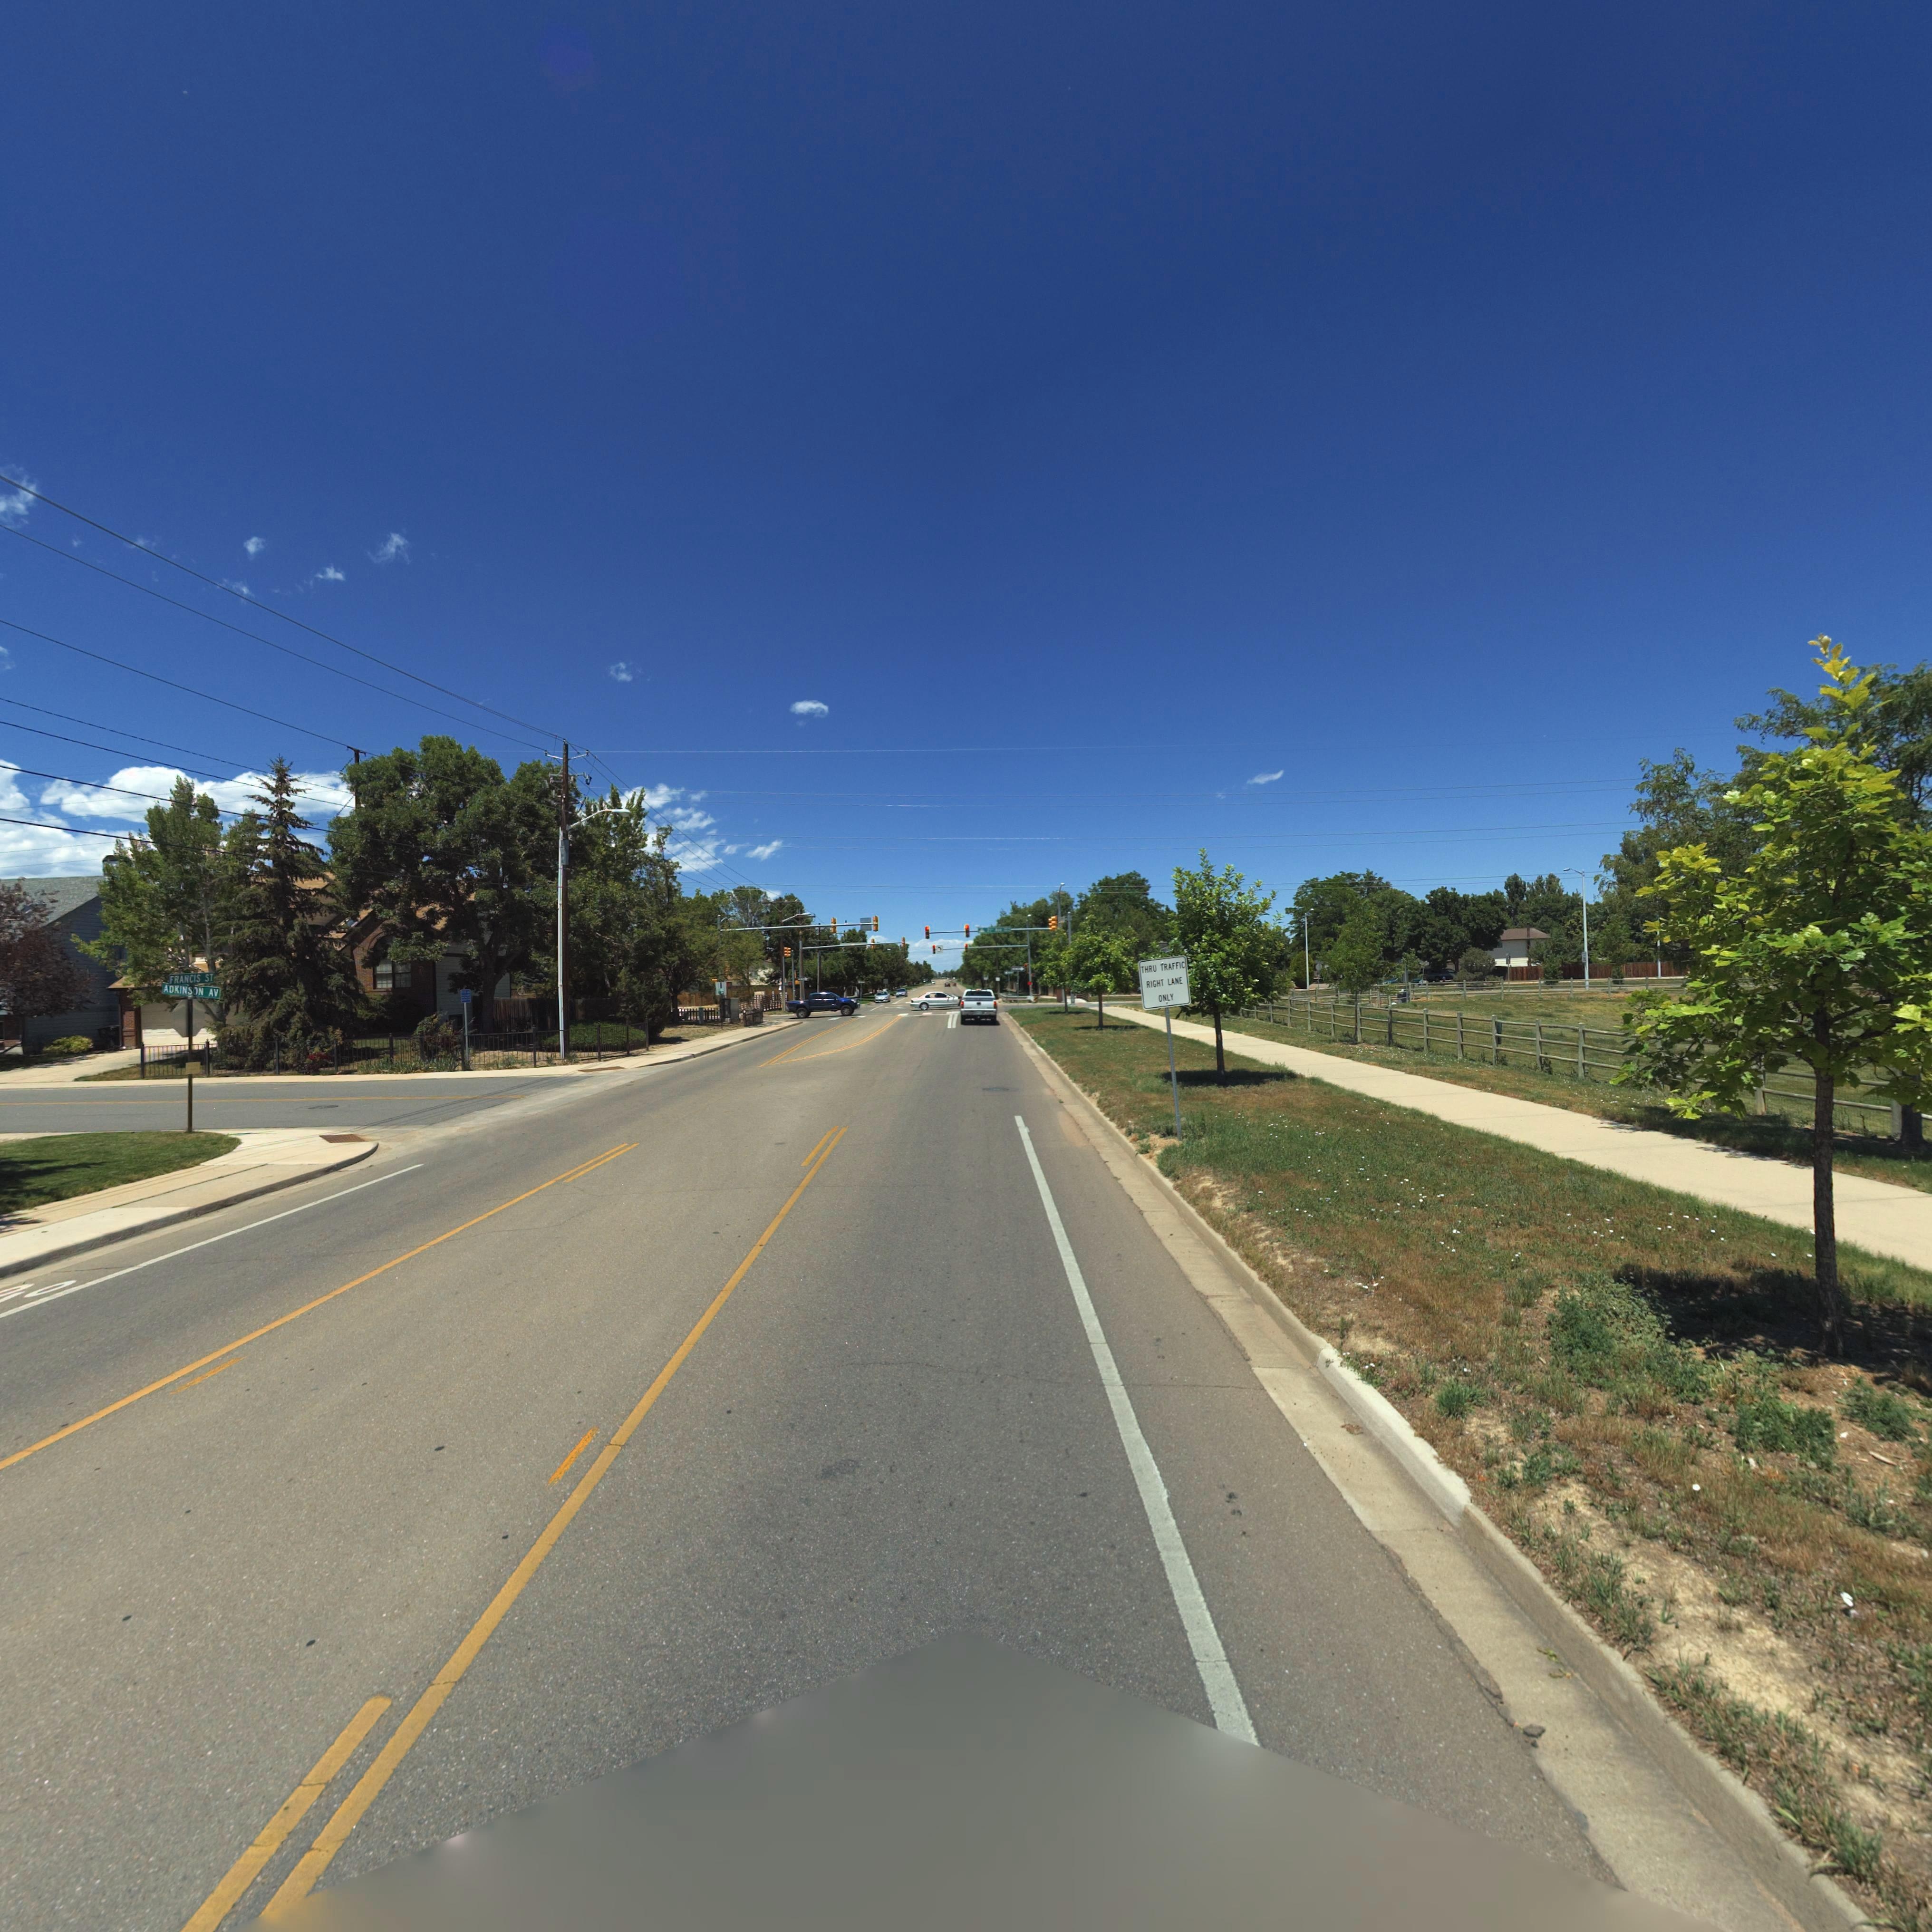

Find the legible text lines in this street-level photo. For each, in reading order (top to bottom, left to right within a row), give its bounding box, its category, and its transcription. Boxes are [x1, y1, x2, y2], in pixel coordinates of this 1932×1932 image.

[168, 973, 213, 985] StreetName: FRANCIS ST
[161, 982, 221, 998] StreetName: ADKINSON AV